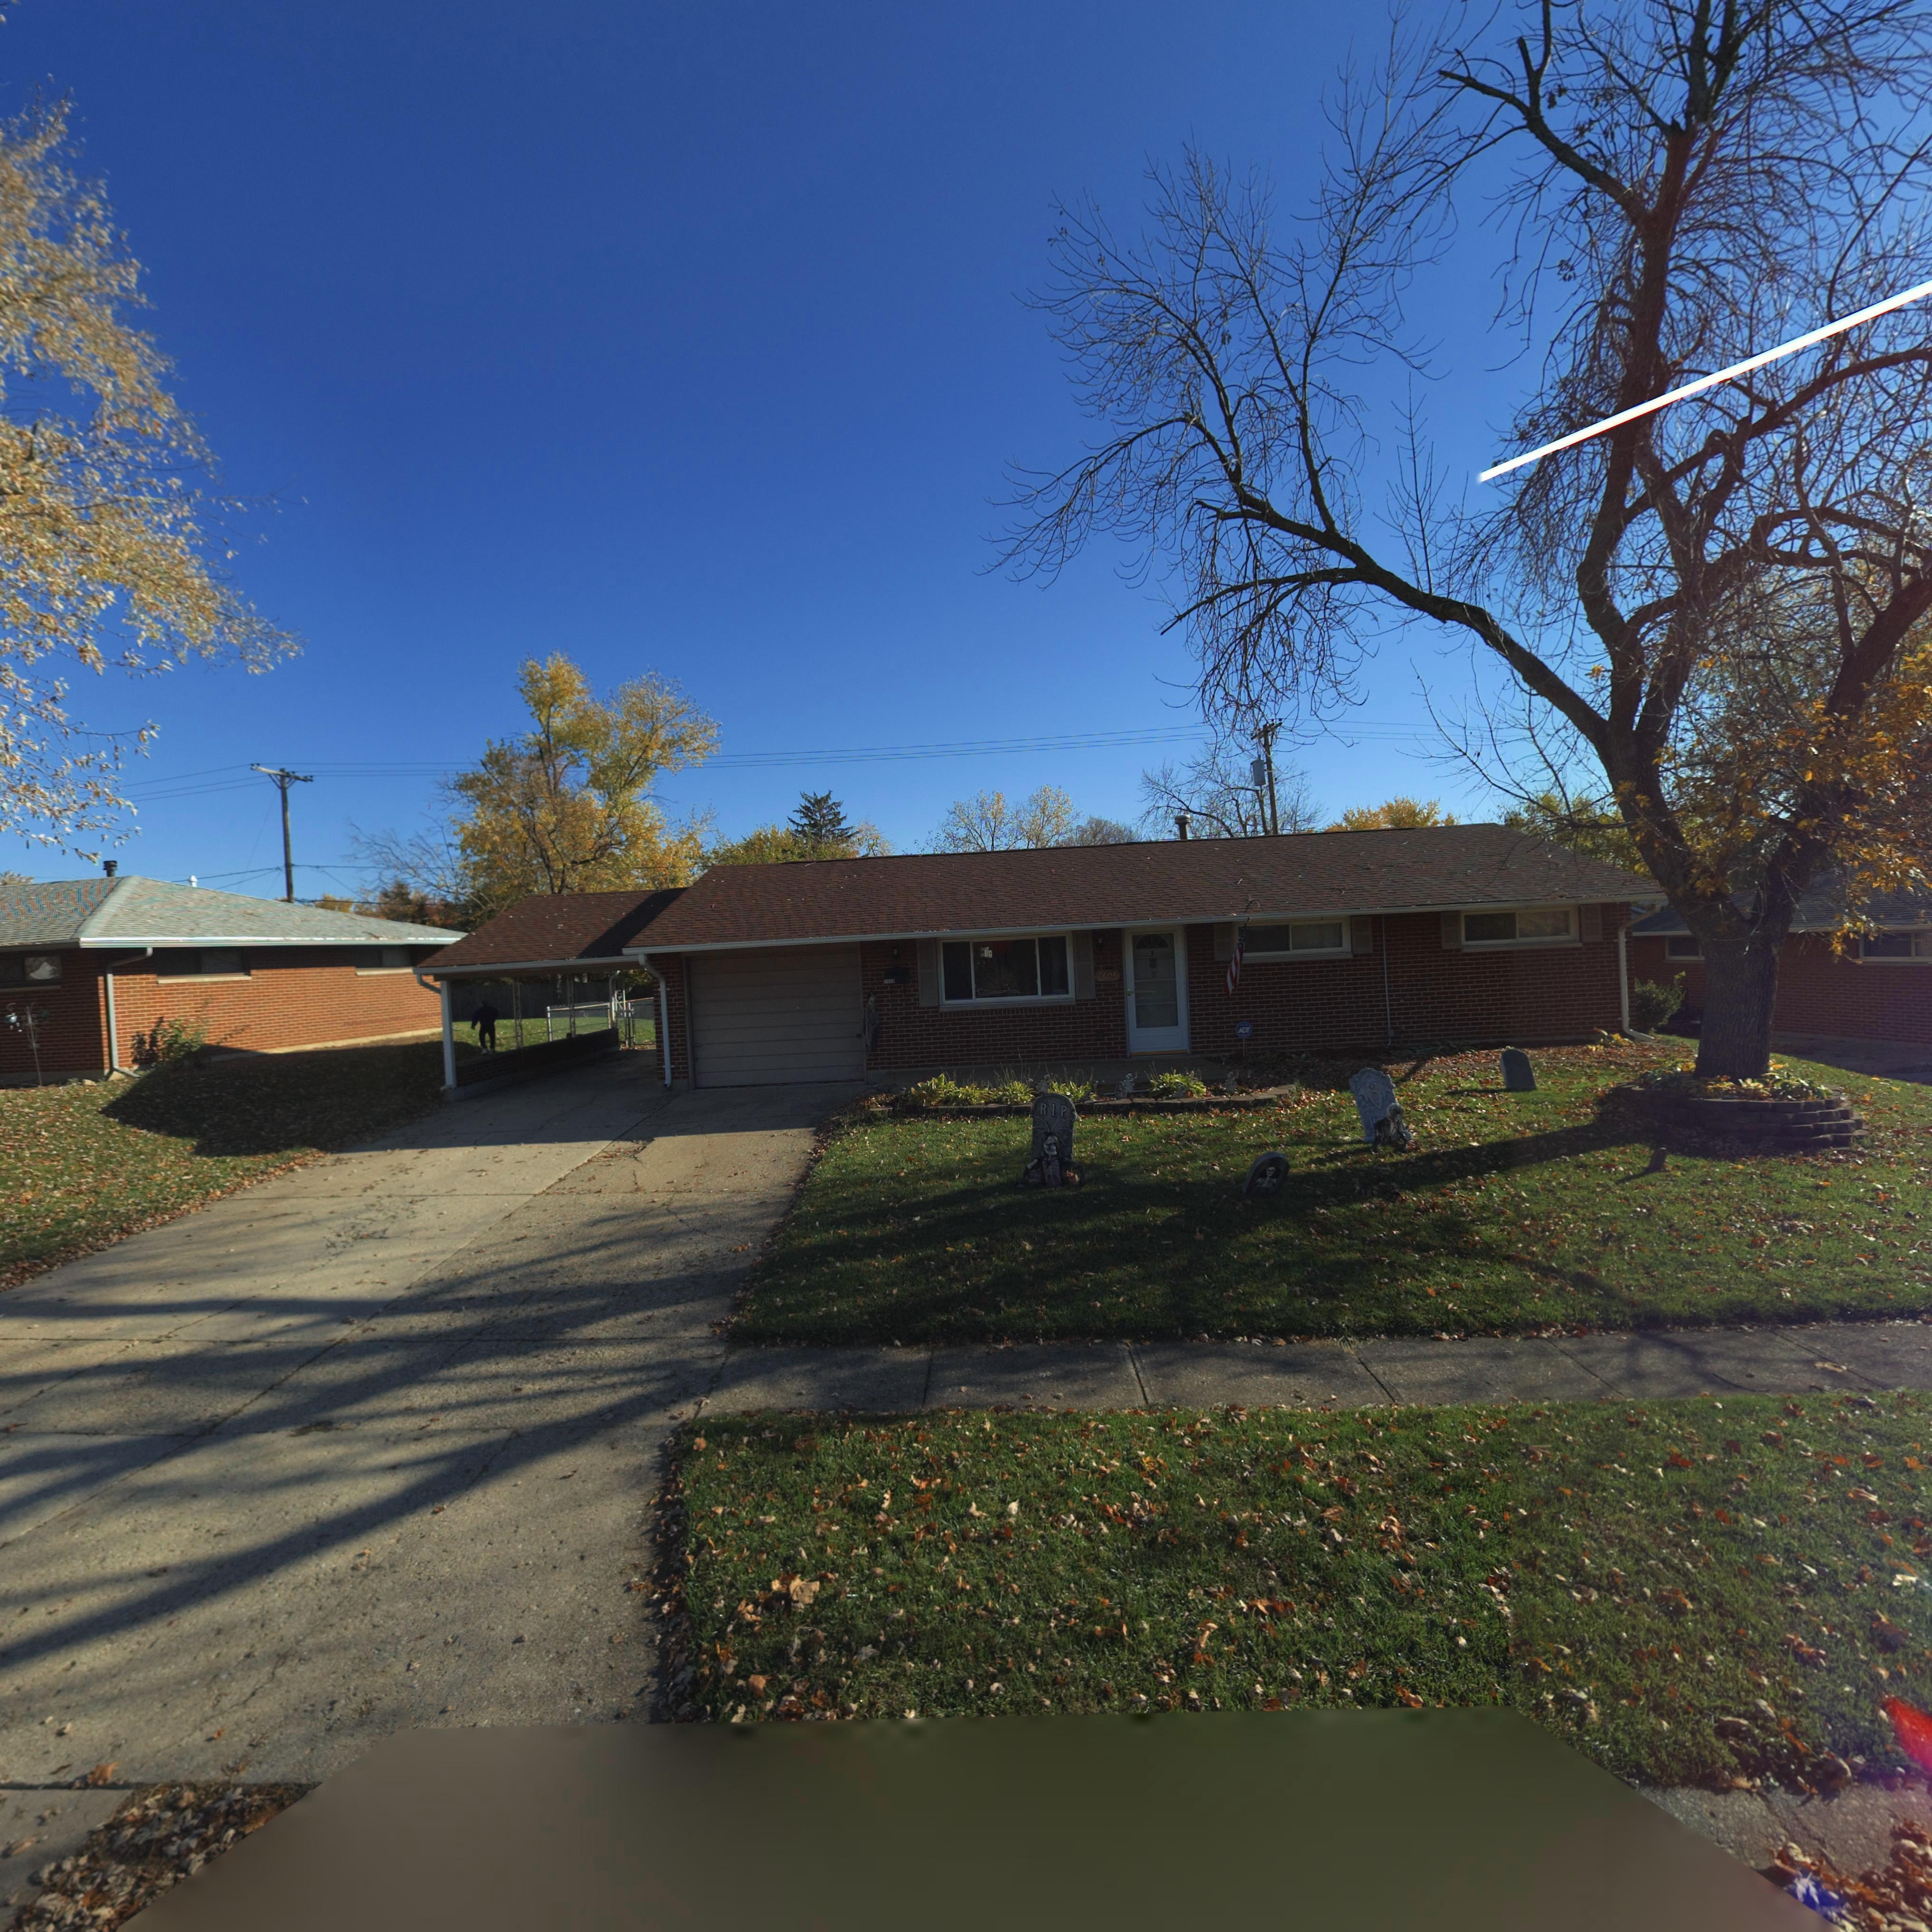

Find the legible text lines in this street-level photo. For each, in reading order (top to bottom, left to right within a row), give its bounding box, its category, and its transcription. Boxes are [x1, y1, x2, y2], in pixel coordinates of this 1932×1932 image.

[1097, 971, 1119, 980] StreetNumber: **06